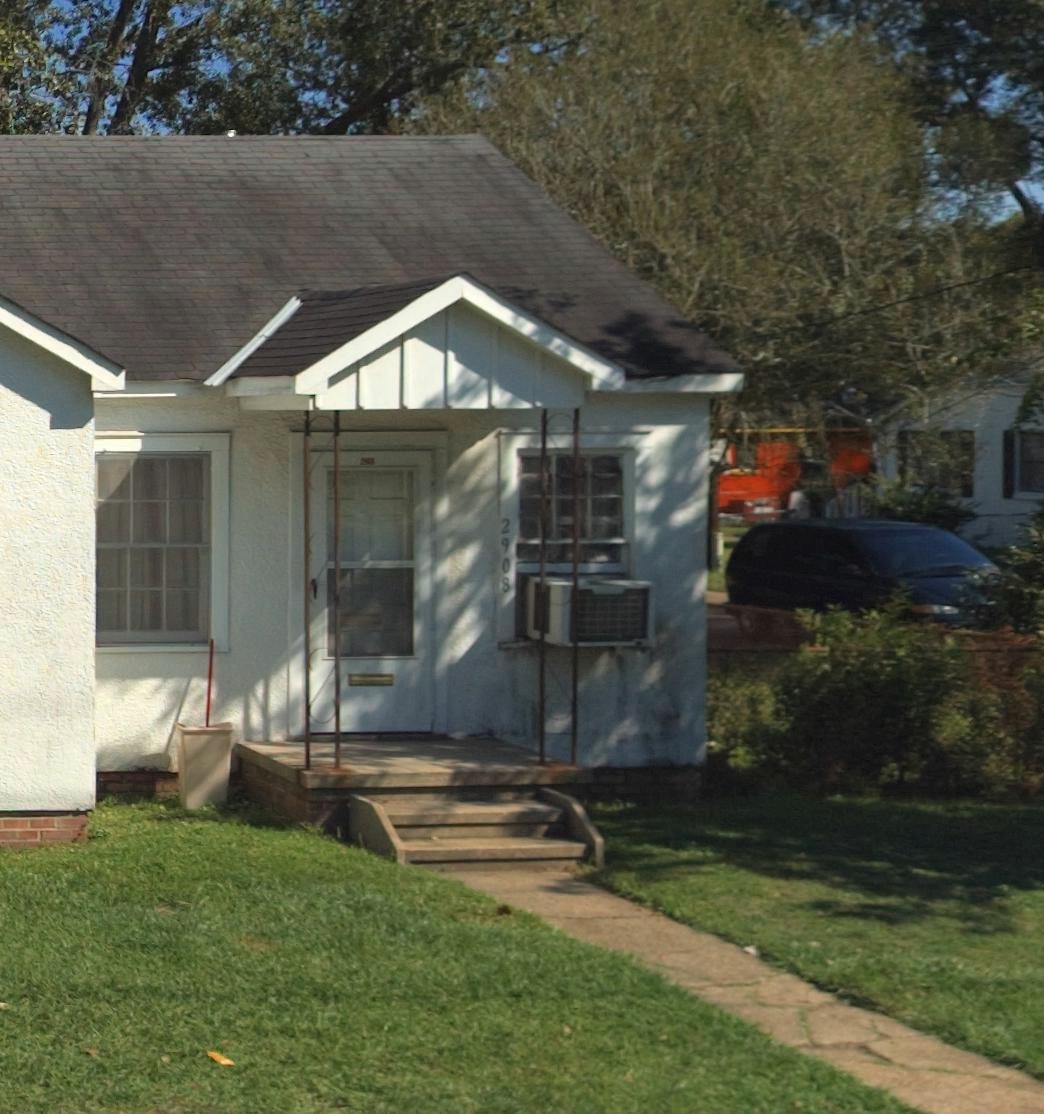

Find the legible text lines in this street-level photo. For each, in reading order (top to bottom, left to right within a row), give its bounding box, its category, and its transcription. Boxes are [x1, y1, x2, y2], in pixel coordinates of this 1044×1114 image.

[498, 516, 513, 596] StreetNumber: 2908